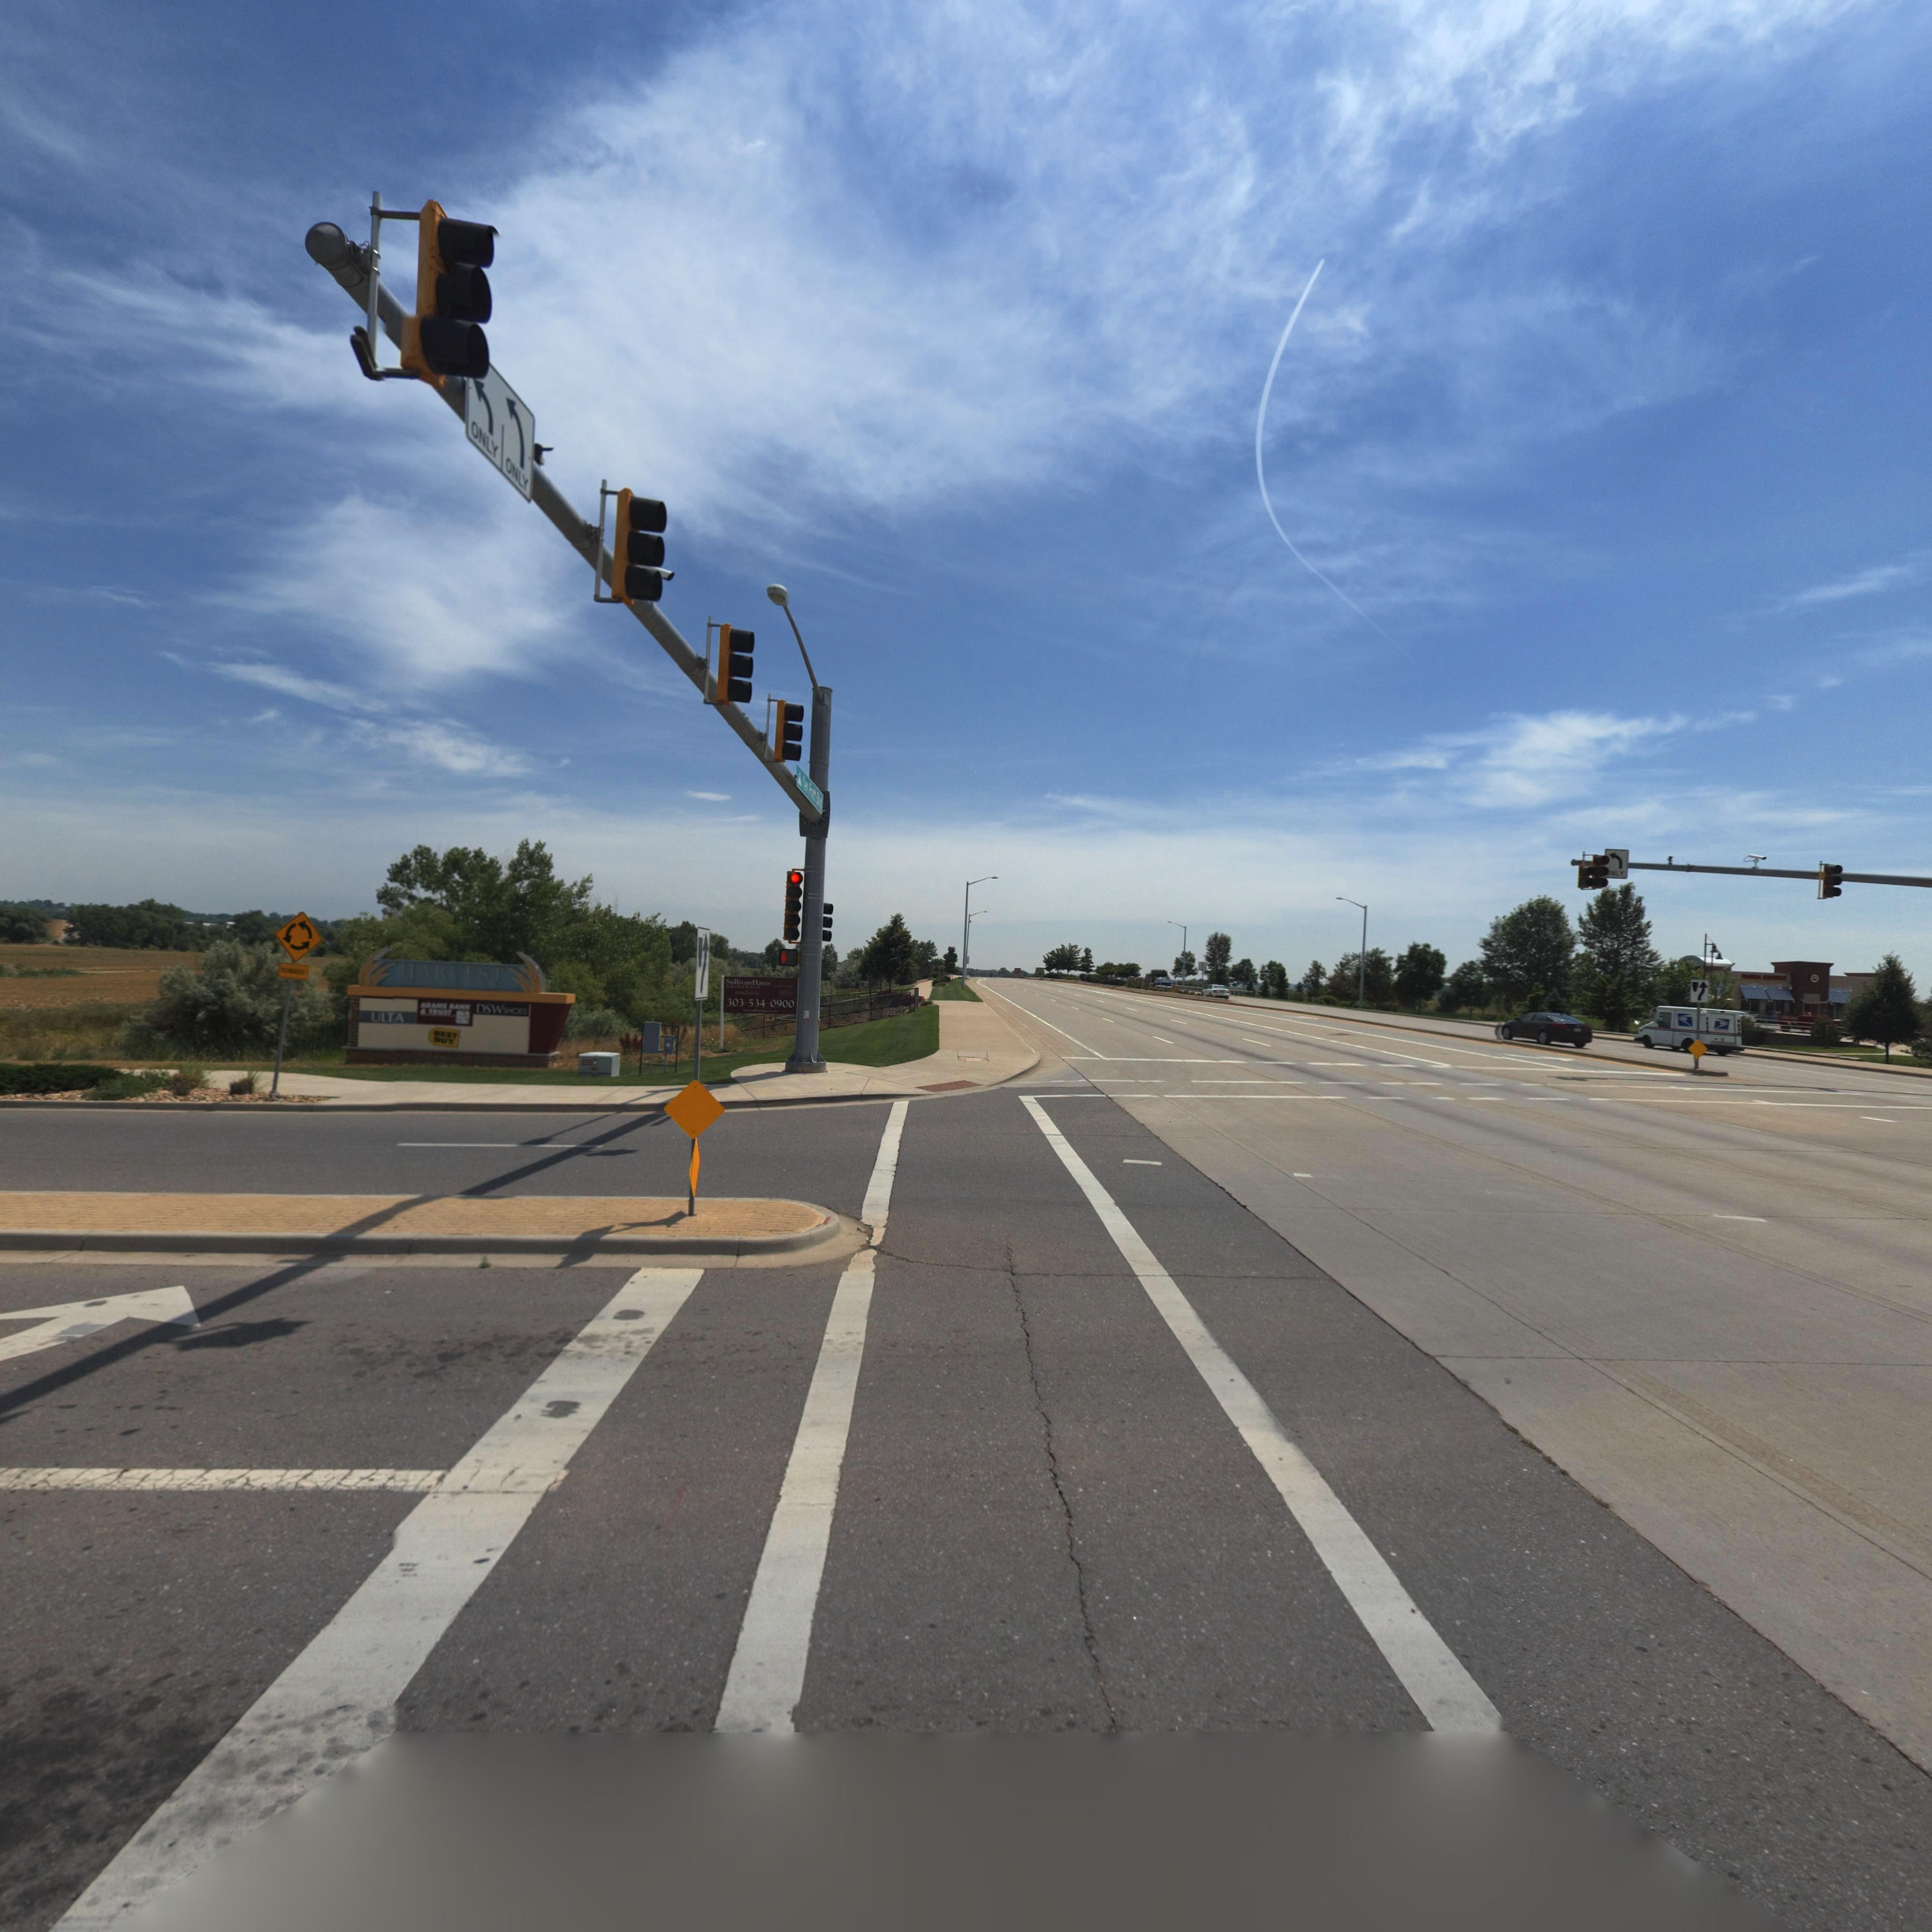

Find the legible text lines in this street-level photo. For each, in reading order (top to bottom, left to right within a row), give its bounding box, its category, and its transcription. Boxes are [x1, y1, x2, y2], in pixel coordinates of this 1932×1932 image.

[802, 773, 823, 810] StreetName: Ken Pratt B*vd
[1739, 973, 1787, 981] BusinessName: P**DA EXP**S
[370, 1010, 405, 1023] BusinessName: ULTA
[419, 1008, 453, 1016] BusinessName: * TRUST
[419, 1001, 472, 1011] BusinessName: ADAMS BANK
[475, 1002, 527, 1015] BusinessName: DSW SHOES
[433, 1029, 458, 1039] BusinessName: BEST
[433, 1036, 455, 1044] BusinessName: BUY